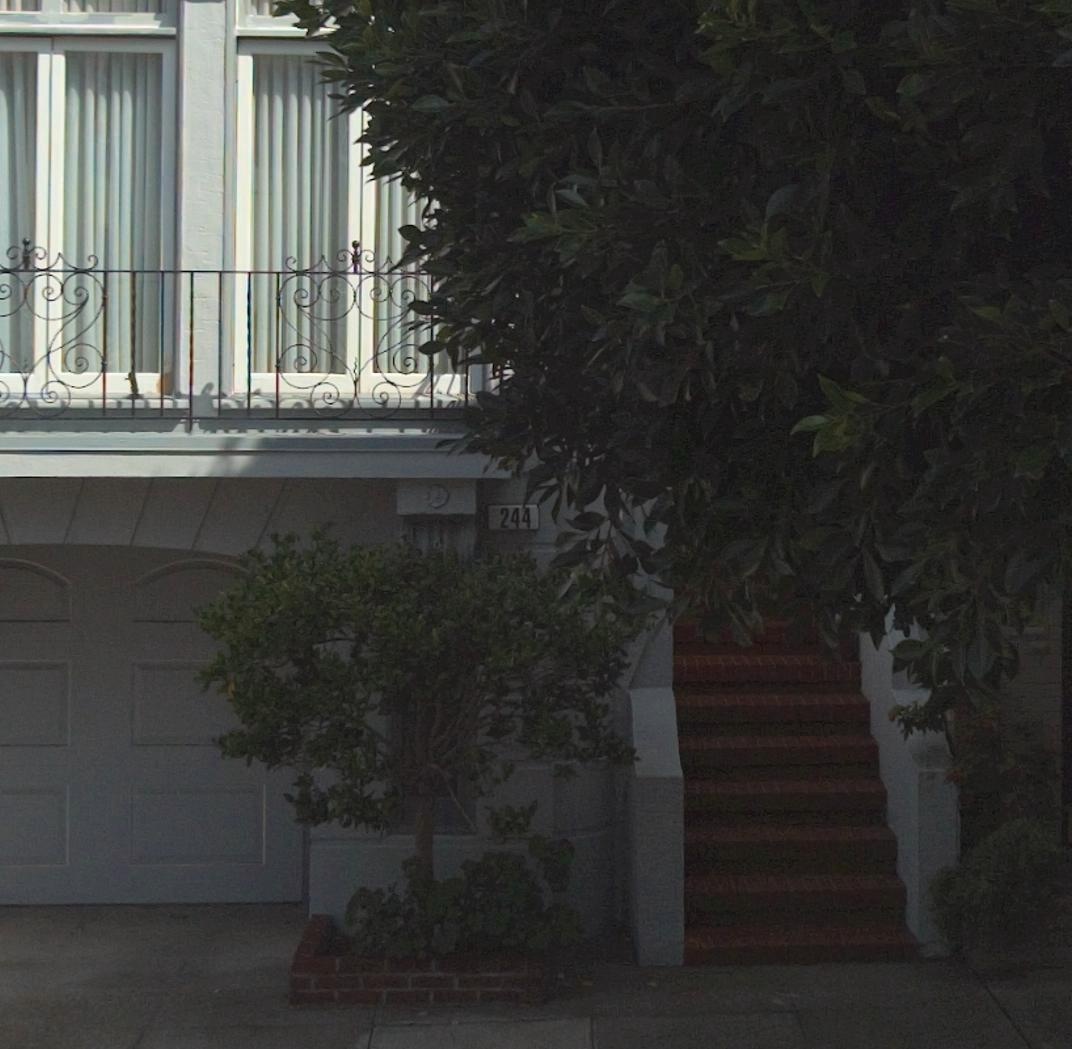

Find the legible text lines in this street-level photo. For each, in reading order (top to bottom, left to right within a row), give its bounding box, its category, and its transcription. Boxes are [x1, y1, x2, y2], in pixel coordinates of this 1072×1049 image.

[498, 505, 534, 531] StreetNumber: 244